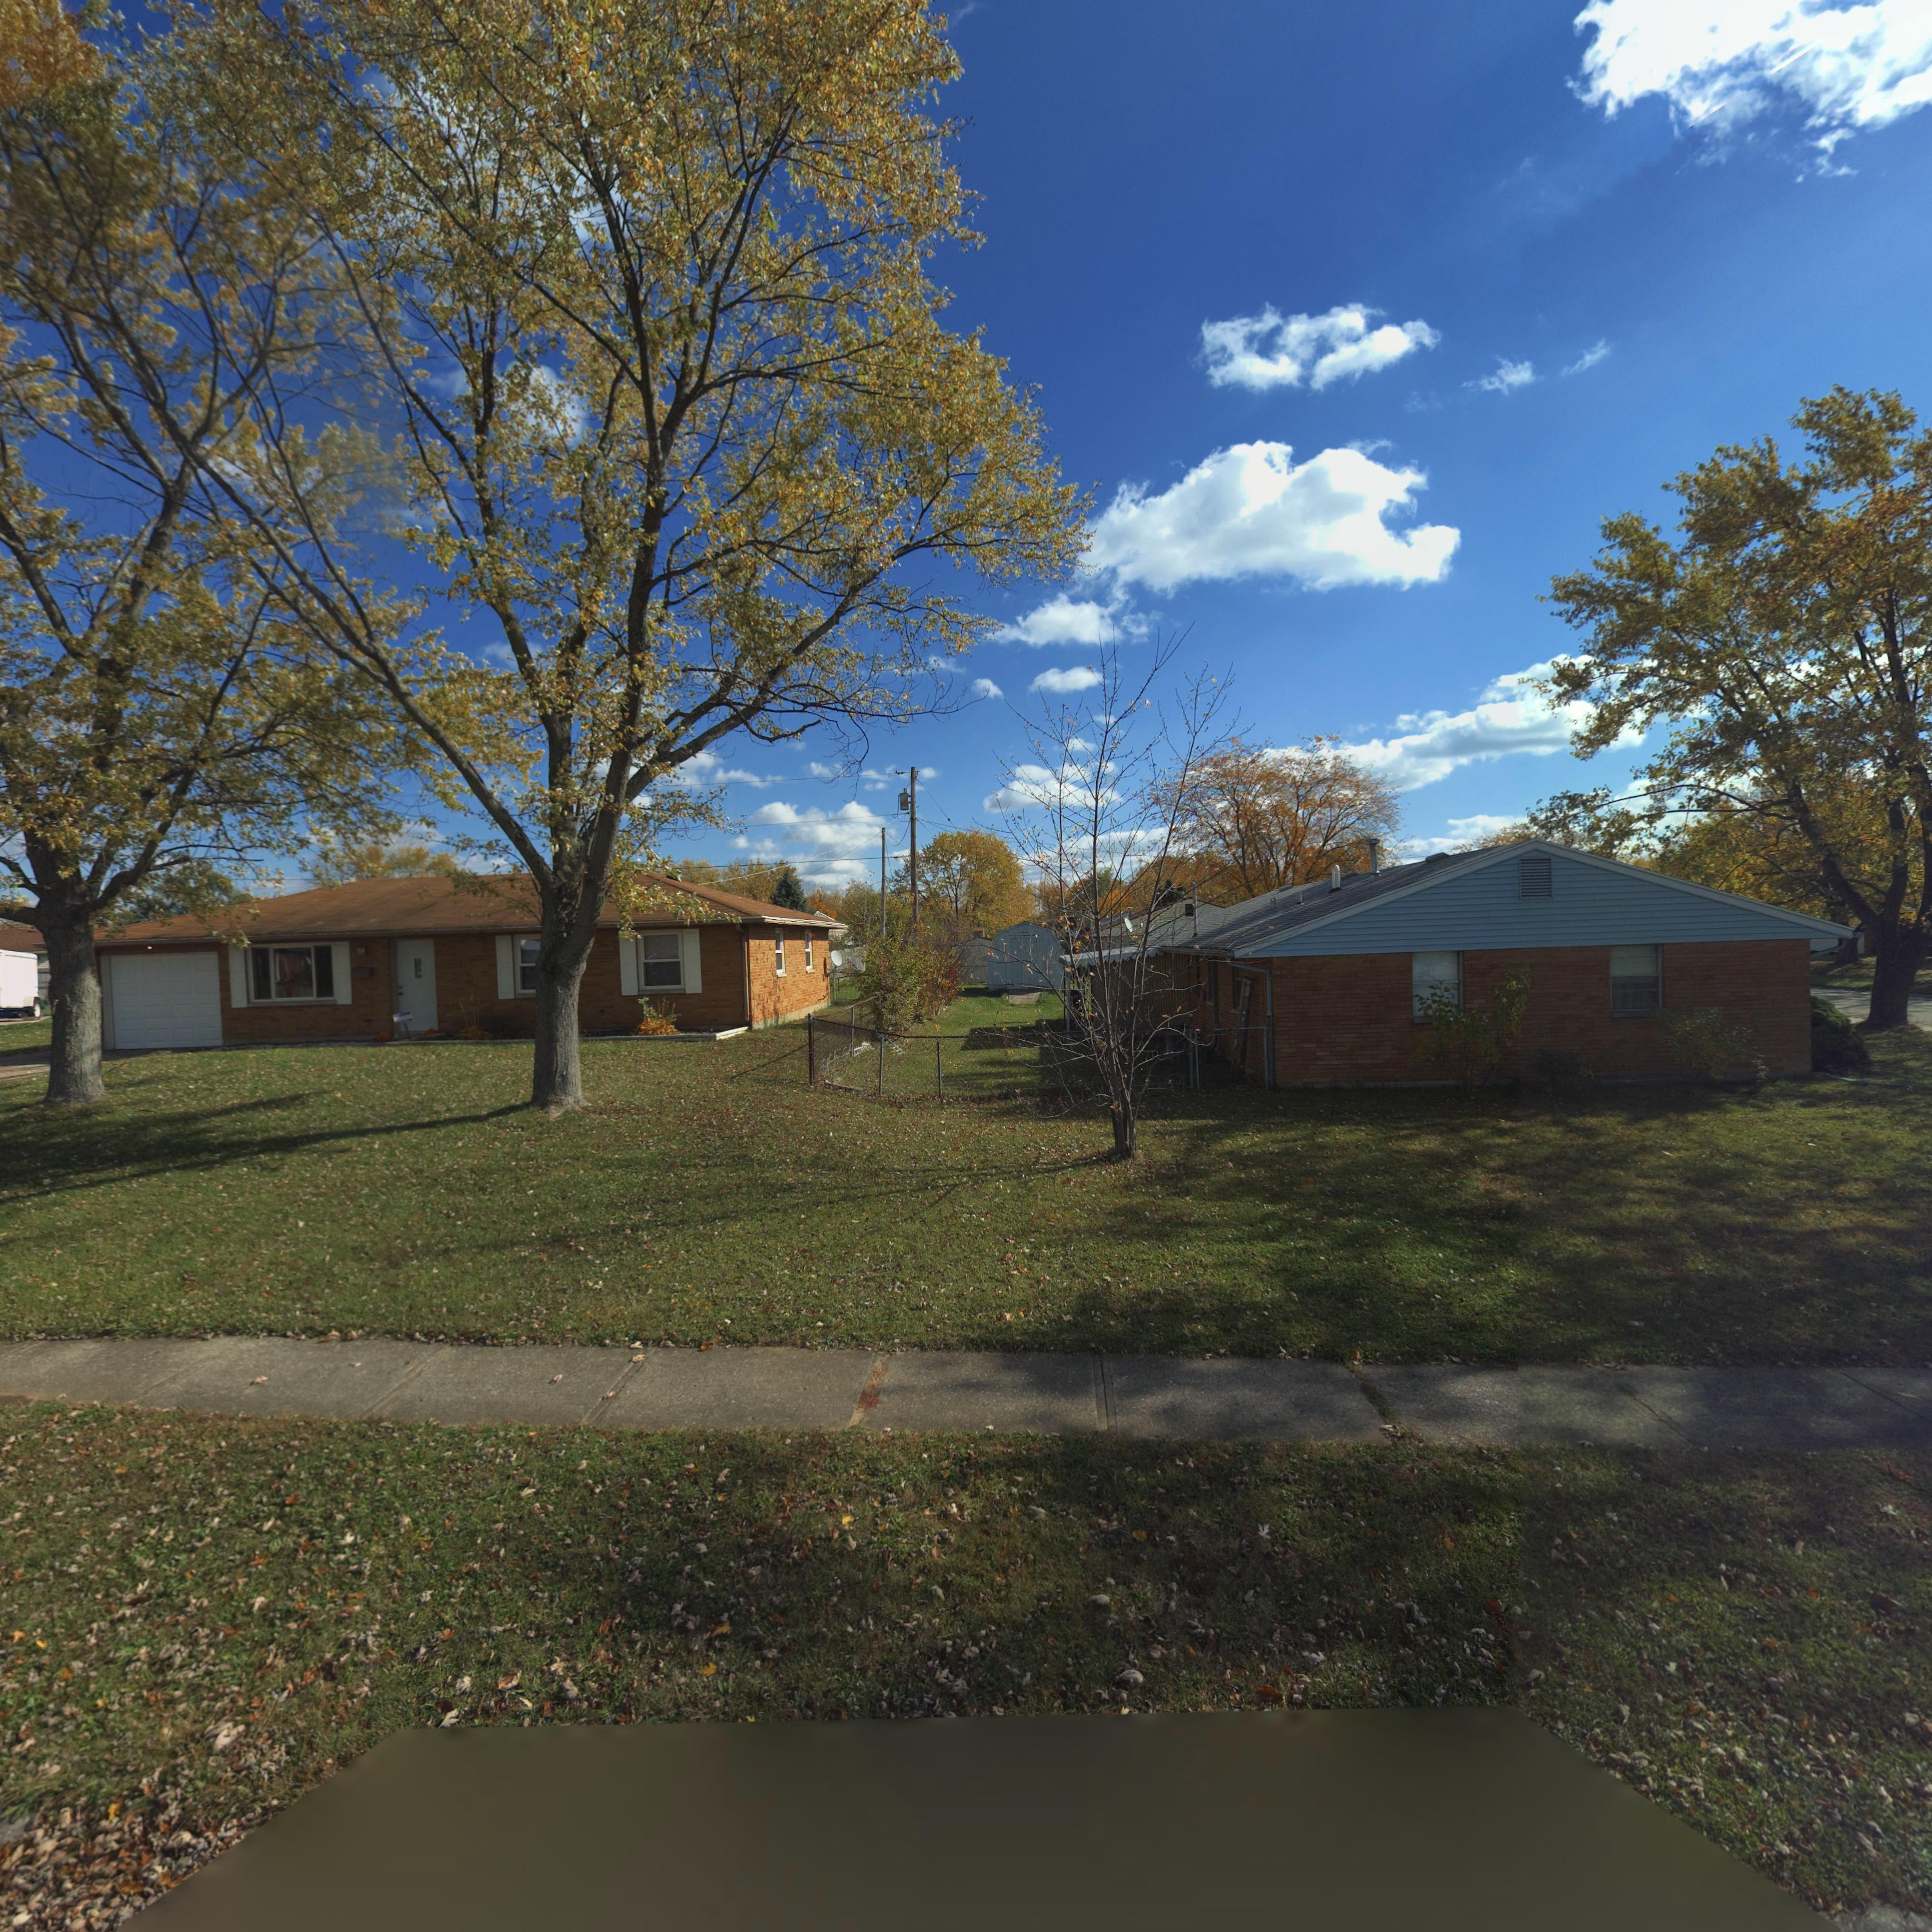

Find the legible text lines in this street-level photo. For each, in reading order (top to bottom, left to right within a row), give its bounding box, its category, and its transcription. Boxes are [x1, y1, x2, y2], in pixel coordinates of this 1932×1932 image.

[442, 942, 471, 978] StreetNumber: 761*